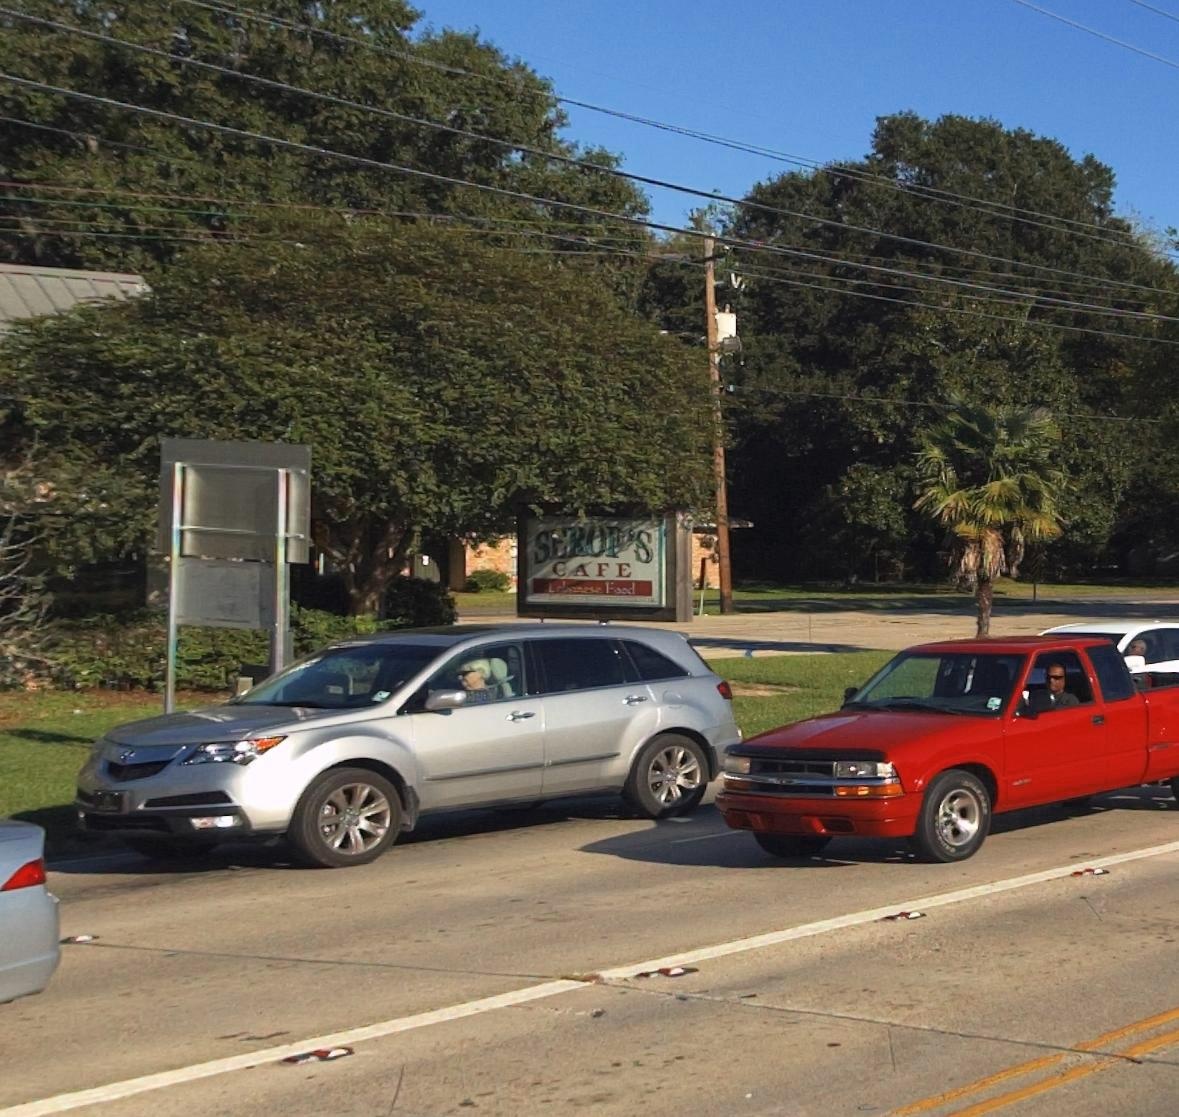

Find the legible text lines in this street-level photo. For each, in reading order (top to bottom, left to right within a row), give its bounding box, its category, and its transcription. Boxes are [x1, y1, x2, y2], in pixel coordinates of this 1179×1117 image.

[533, 524, 655, 565] BusinessName: SERO*'S
[551, 560, 634, 578] BusinessName: CAFE
[546, 580, 637, 595] None: Lebanese Food